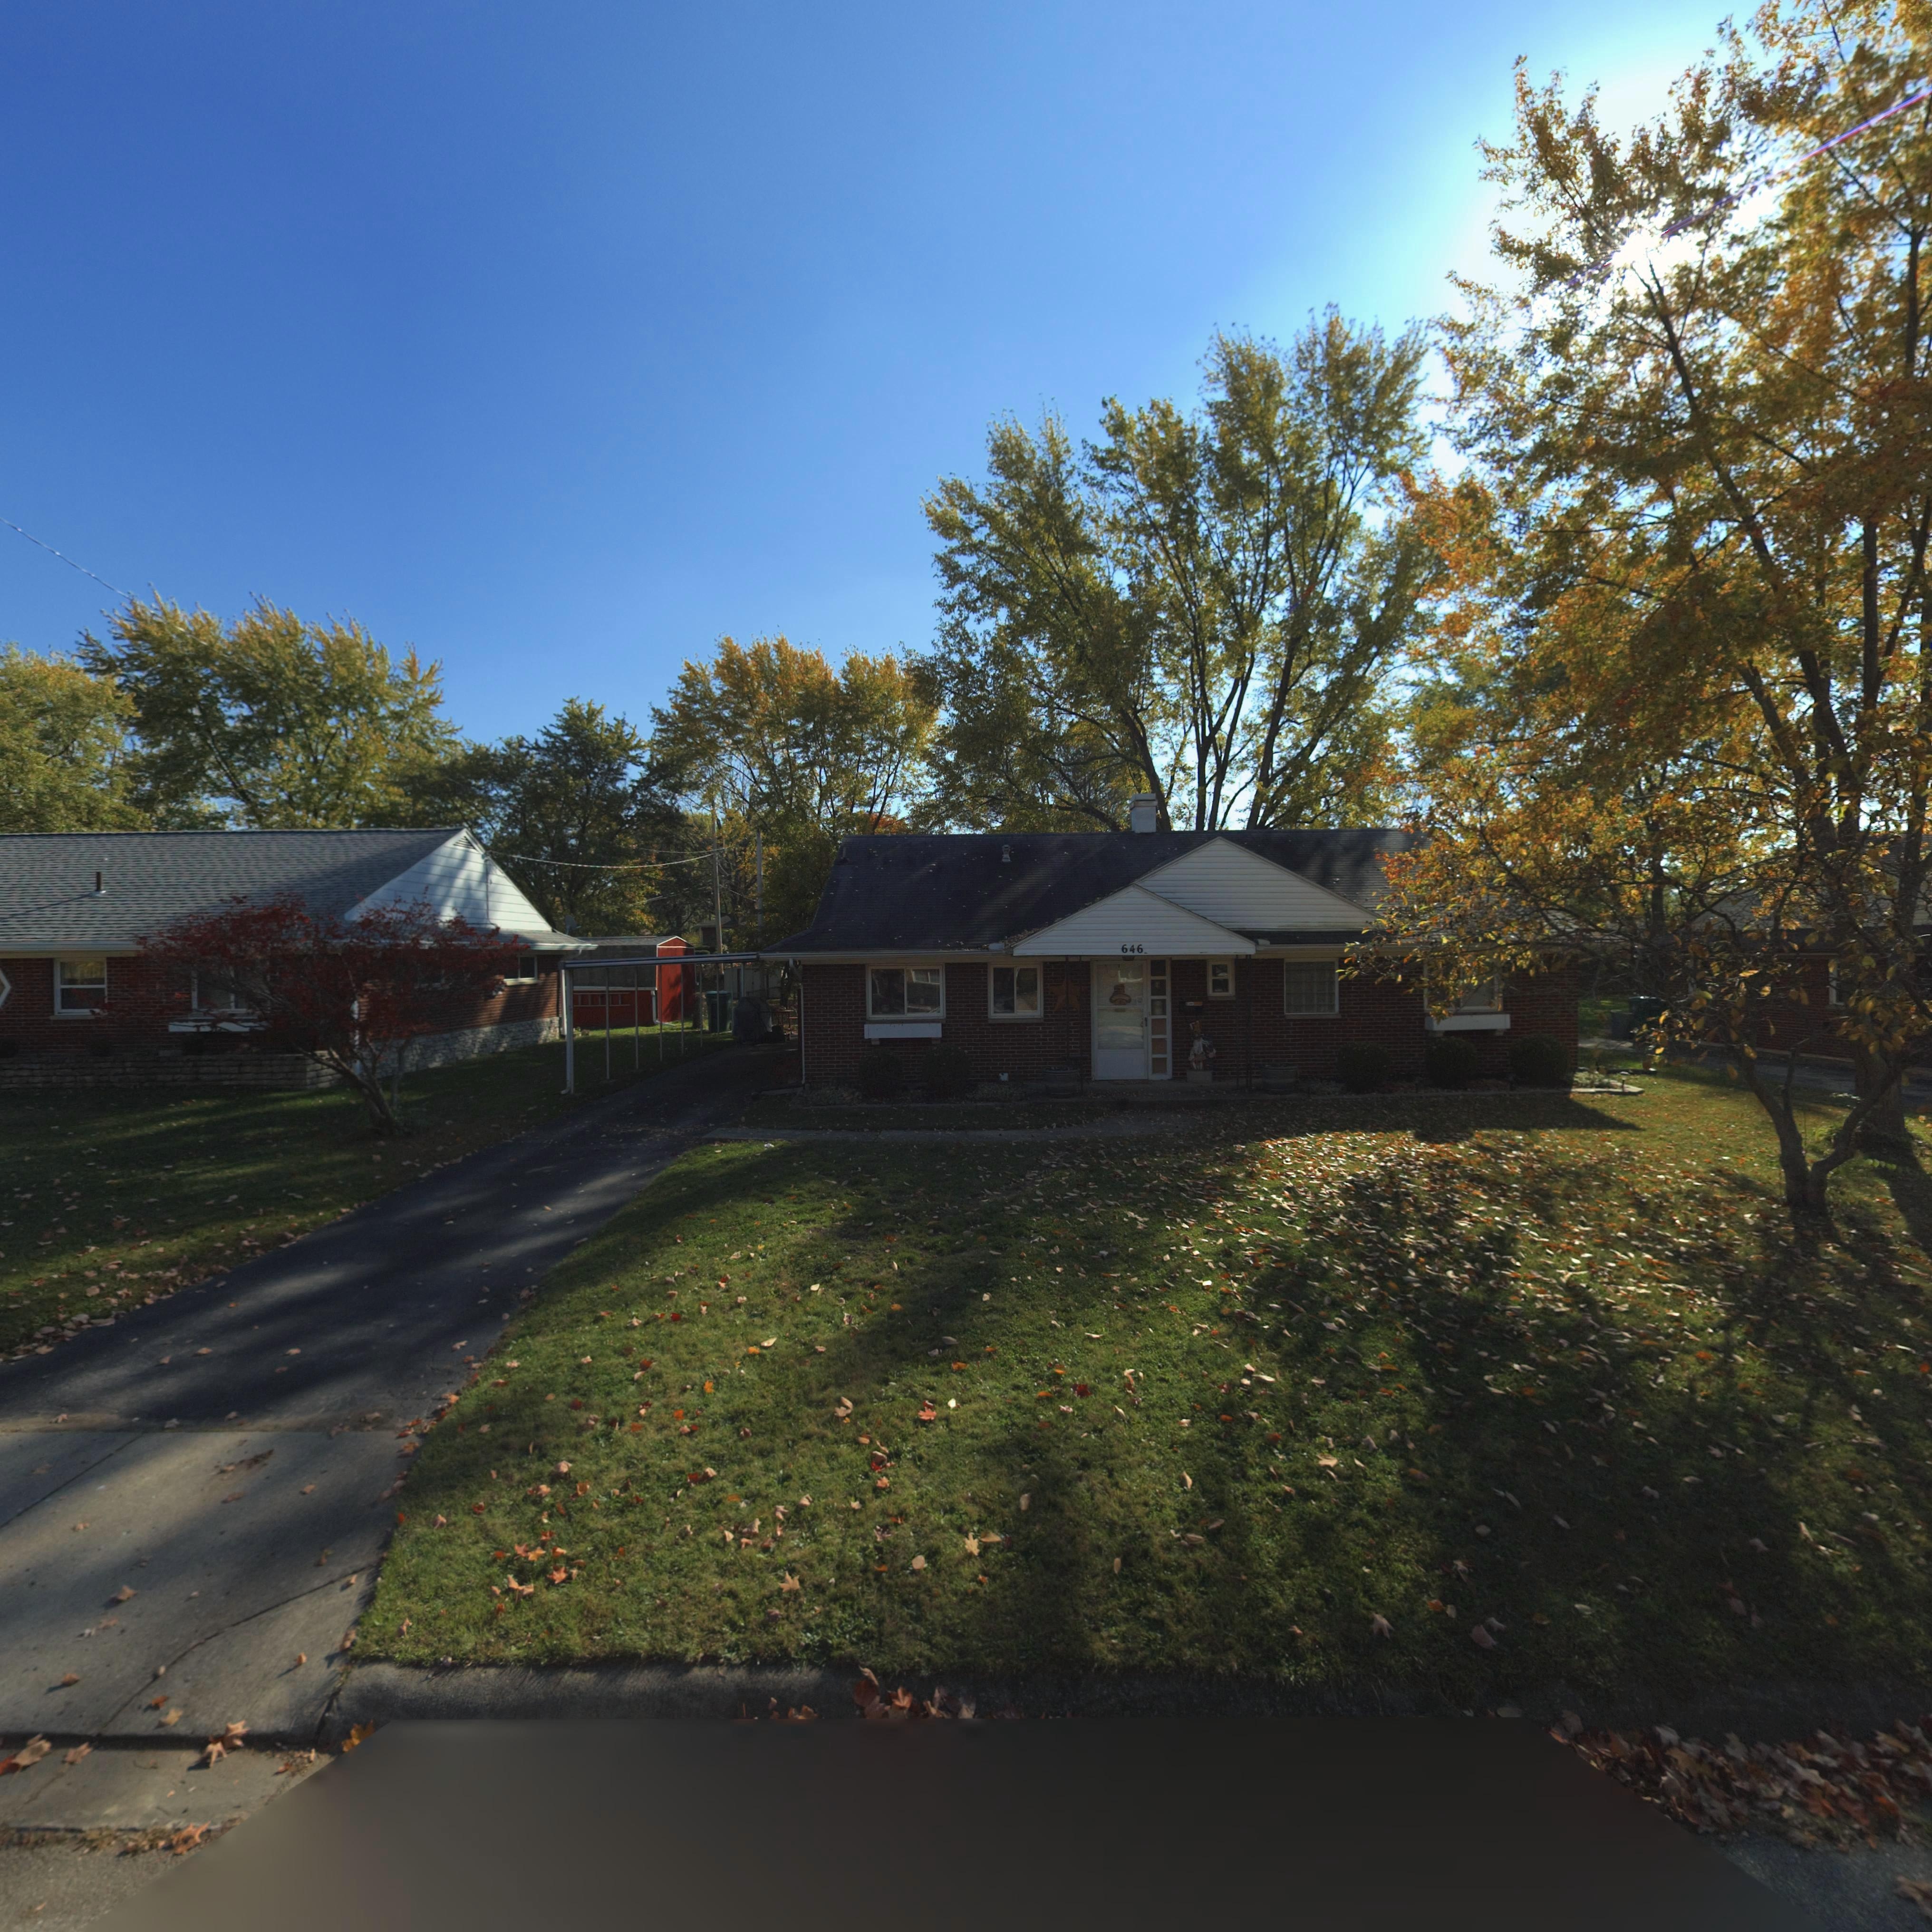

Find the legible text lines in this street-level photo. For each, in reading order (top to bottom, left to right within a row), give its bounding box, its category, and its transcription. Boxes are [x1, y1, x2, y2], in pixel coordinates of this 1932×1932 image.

[1120, 943, 1144, 955] StreetNumber: 646